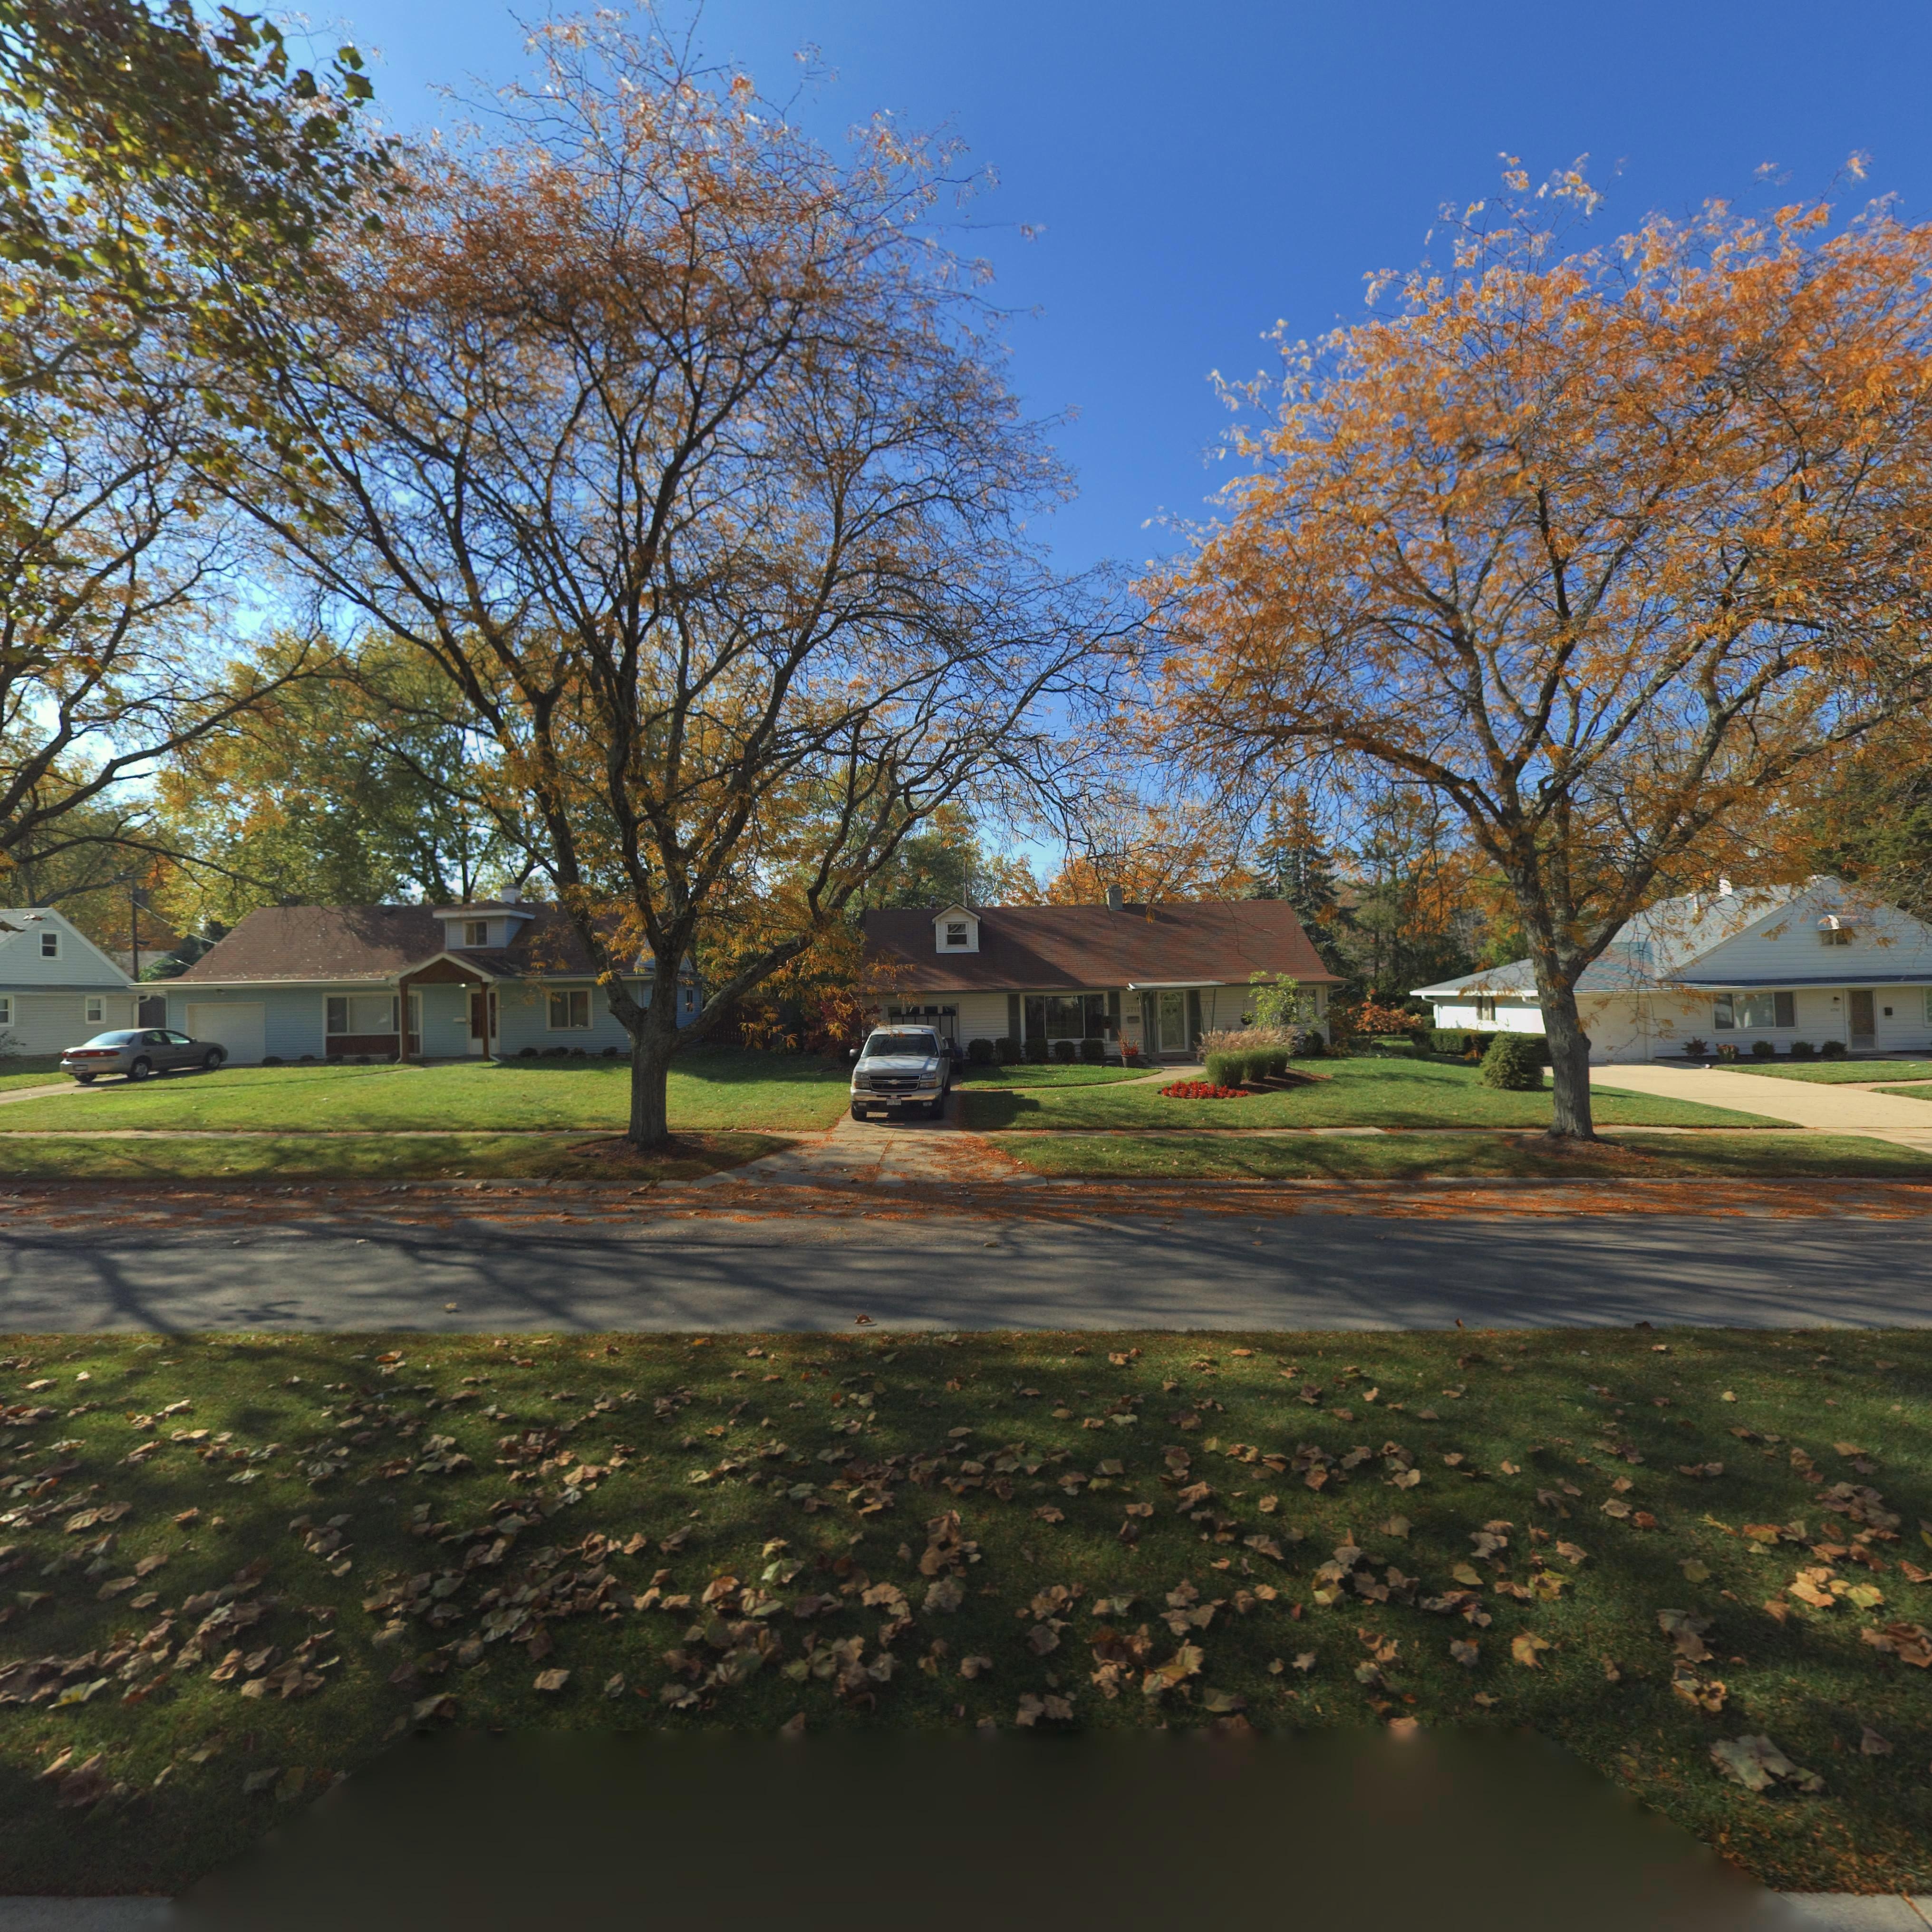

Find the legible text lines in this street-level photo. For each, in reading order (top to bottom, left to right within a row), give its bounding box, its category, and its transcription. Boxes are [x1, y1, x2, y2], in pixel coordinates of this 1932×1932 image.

[1125, 1006, 1140, 1014] StreetNumber: 3711